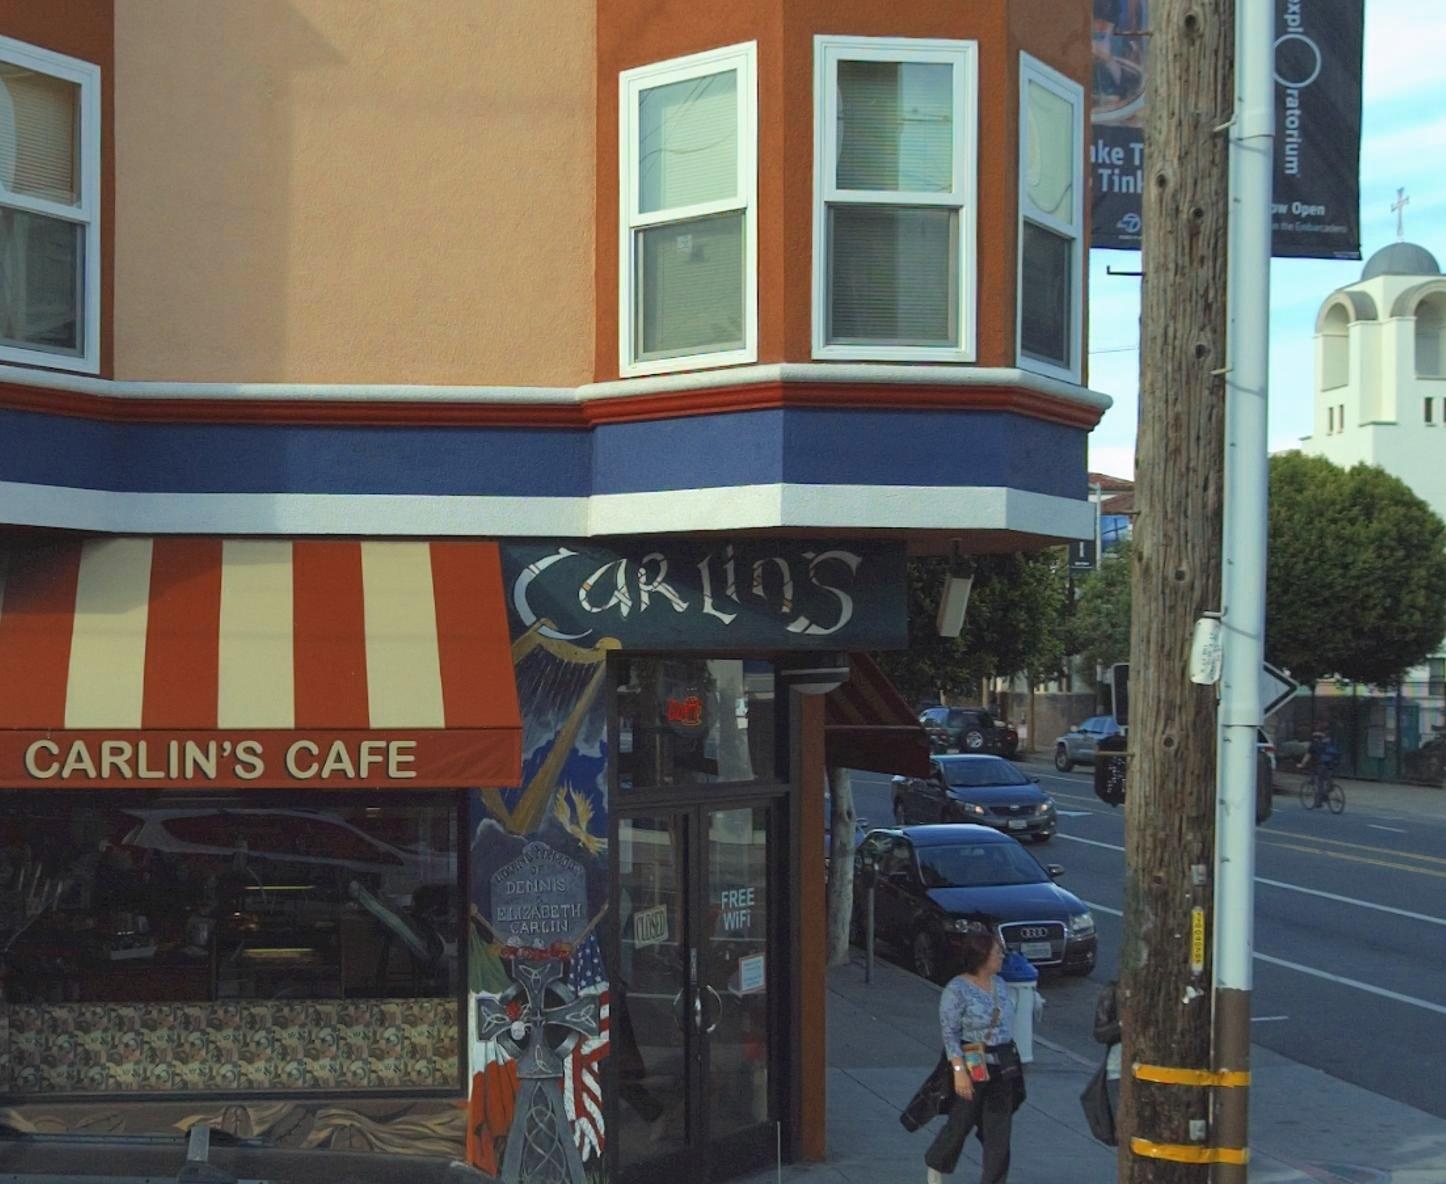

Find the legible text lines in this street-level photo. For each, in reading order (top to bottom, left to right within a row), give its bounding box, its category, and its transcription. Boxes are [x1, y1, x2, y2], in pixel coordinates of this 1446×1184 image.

[1280, 2, 1305, 177] None: xpl*ratorium
[1095, 135, 1149, 169] None: ke T
[1094, 165, 1141, 197] None: Tin
[1274, 199, 1327, 221] None: w Open
[505, 536, 869, 647] BusinessName: CaRLin'S
[19, 735, 424, 784] BusinessName: CARLIN'S CAFE
[503, 875, 569, 896] None: DENNIS
[494, 900, 585, 923] None: ELIZABETH
[507, 917, 573, 937] None: CARLIN
[633, 905, 670, 948] None: CLOSED
[719, 905, 754, 934] None: WiFi
[718, 883, 759, 913] None: FREE